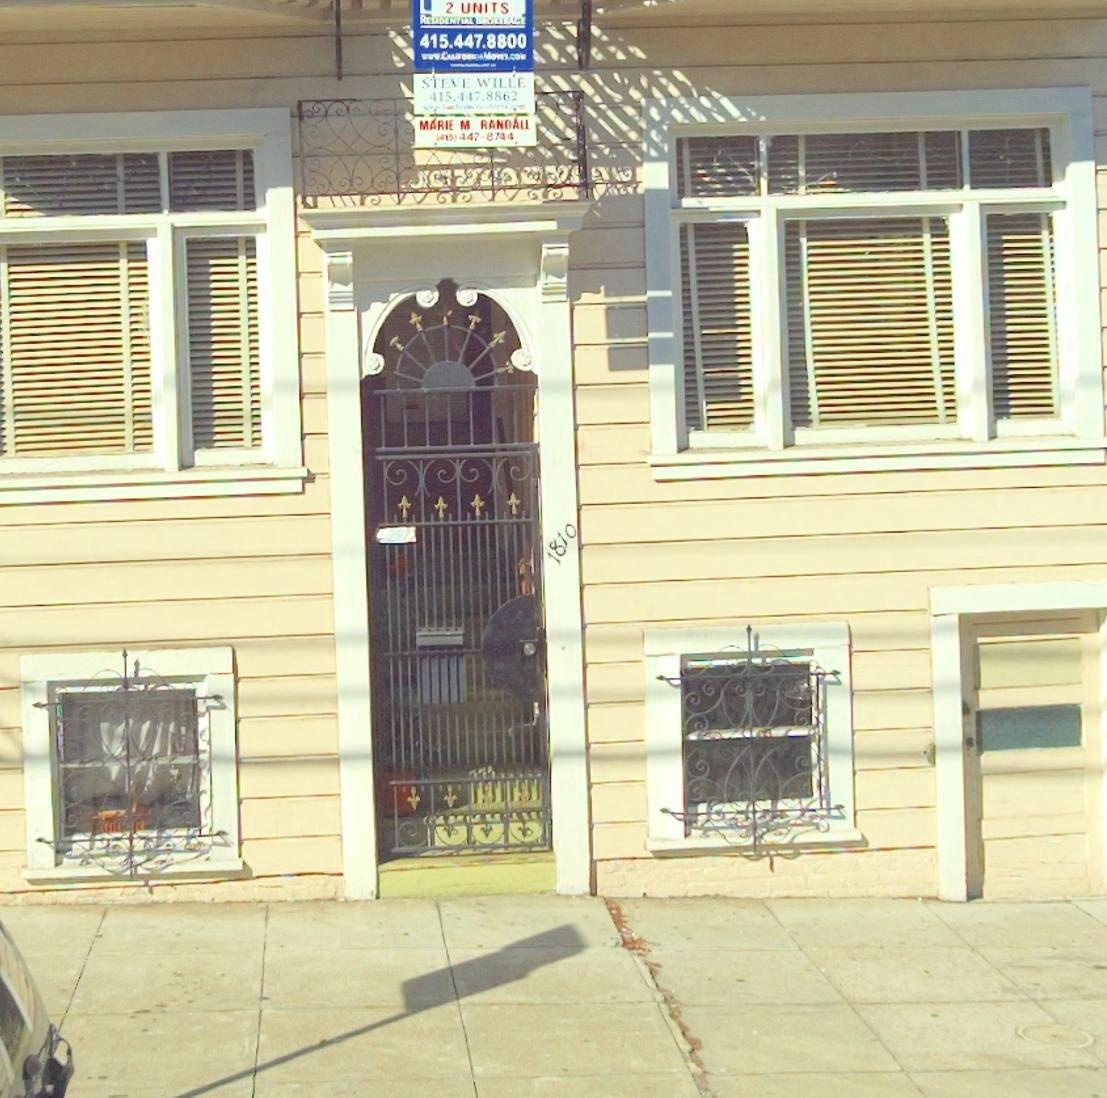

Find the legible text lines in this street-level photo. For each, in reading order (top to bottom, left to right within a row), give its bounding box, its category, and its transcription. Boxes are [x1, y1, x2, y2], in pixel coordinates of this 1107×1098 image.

[443, 0, 511, 15] None: 2 UNITS
[418, 30, 528, 49] None: 415.447.8800
[420, 75, 527, 90] None: STEVE WILLE
[427, 89, 520, 103] None: 415.447.8862
[418, 117, 532, 132] None: MARIE M. RANDALL
[435, 130, 516, 143] None: (415)447-8744
[545, 520, 580, 570] StreetNumber: 1810